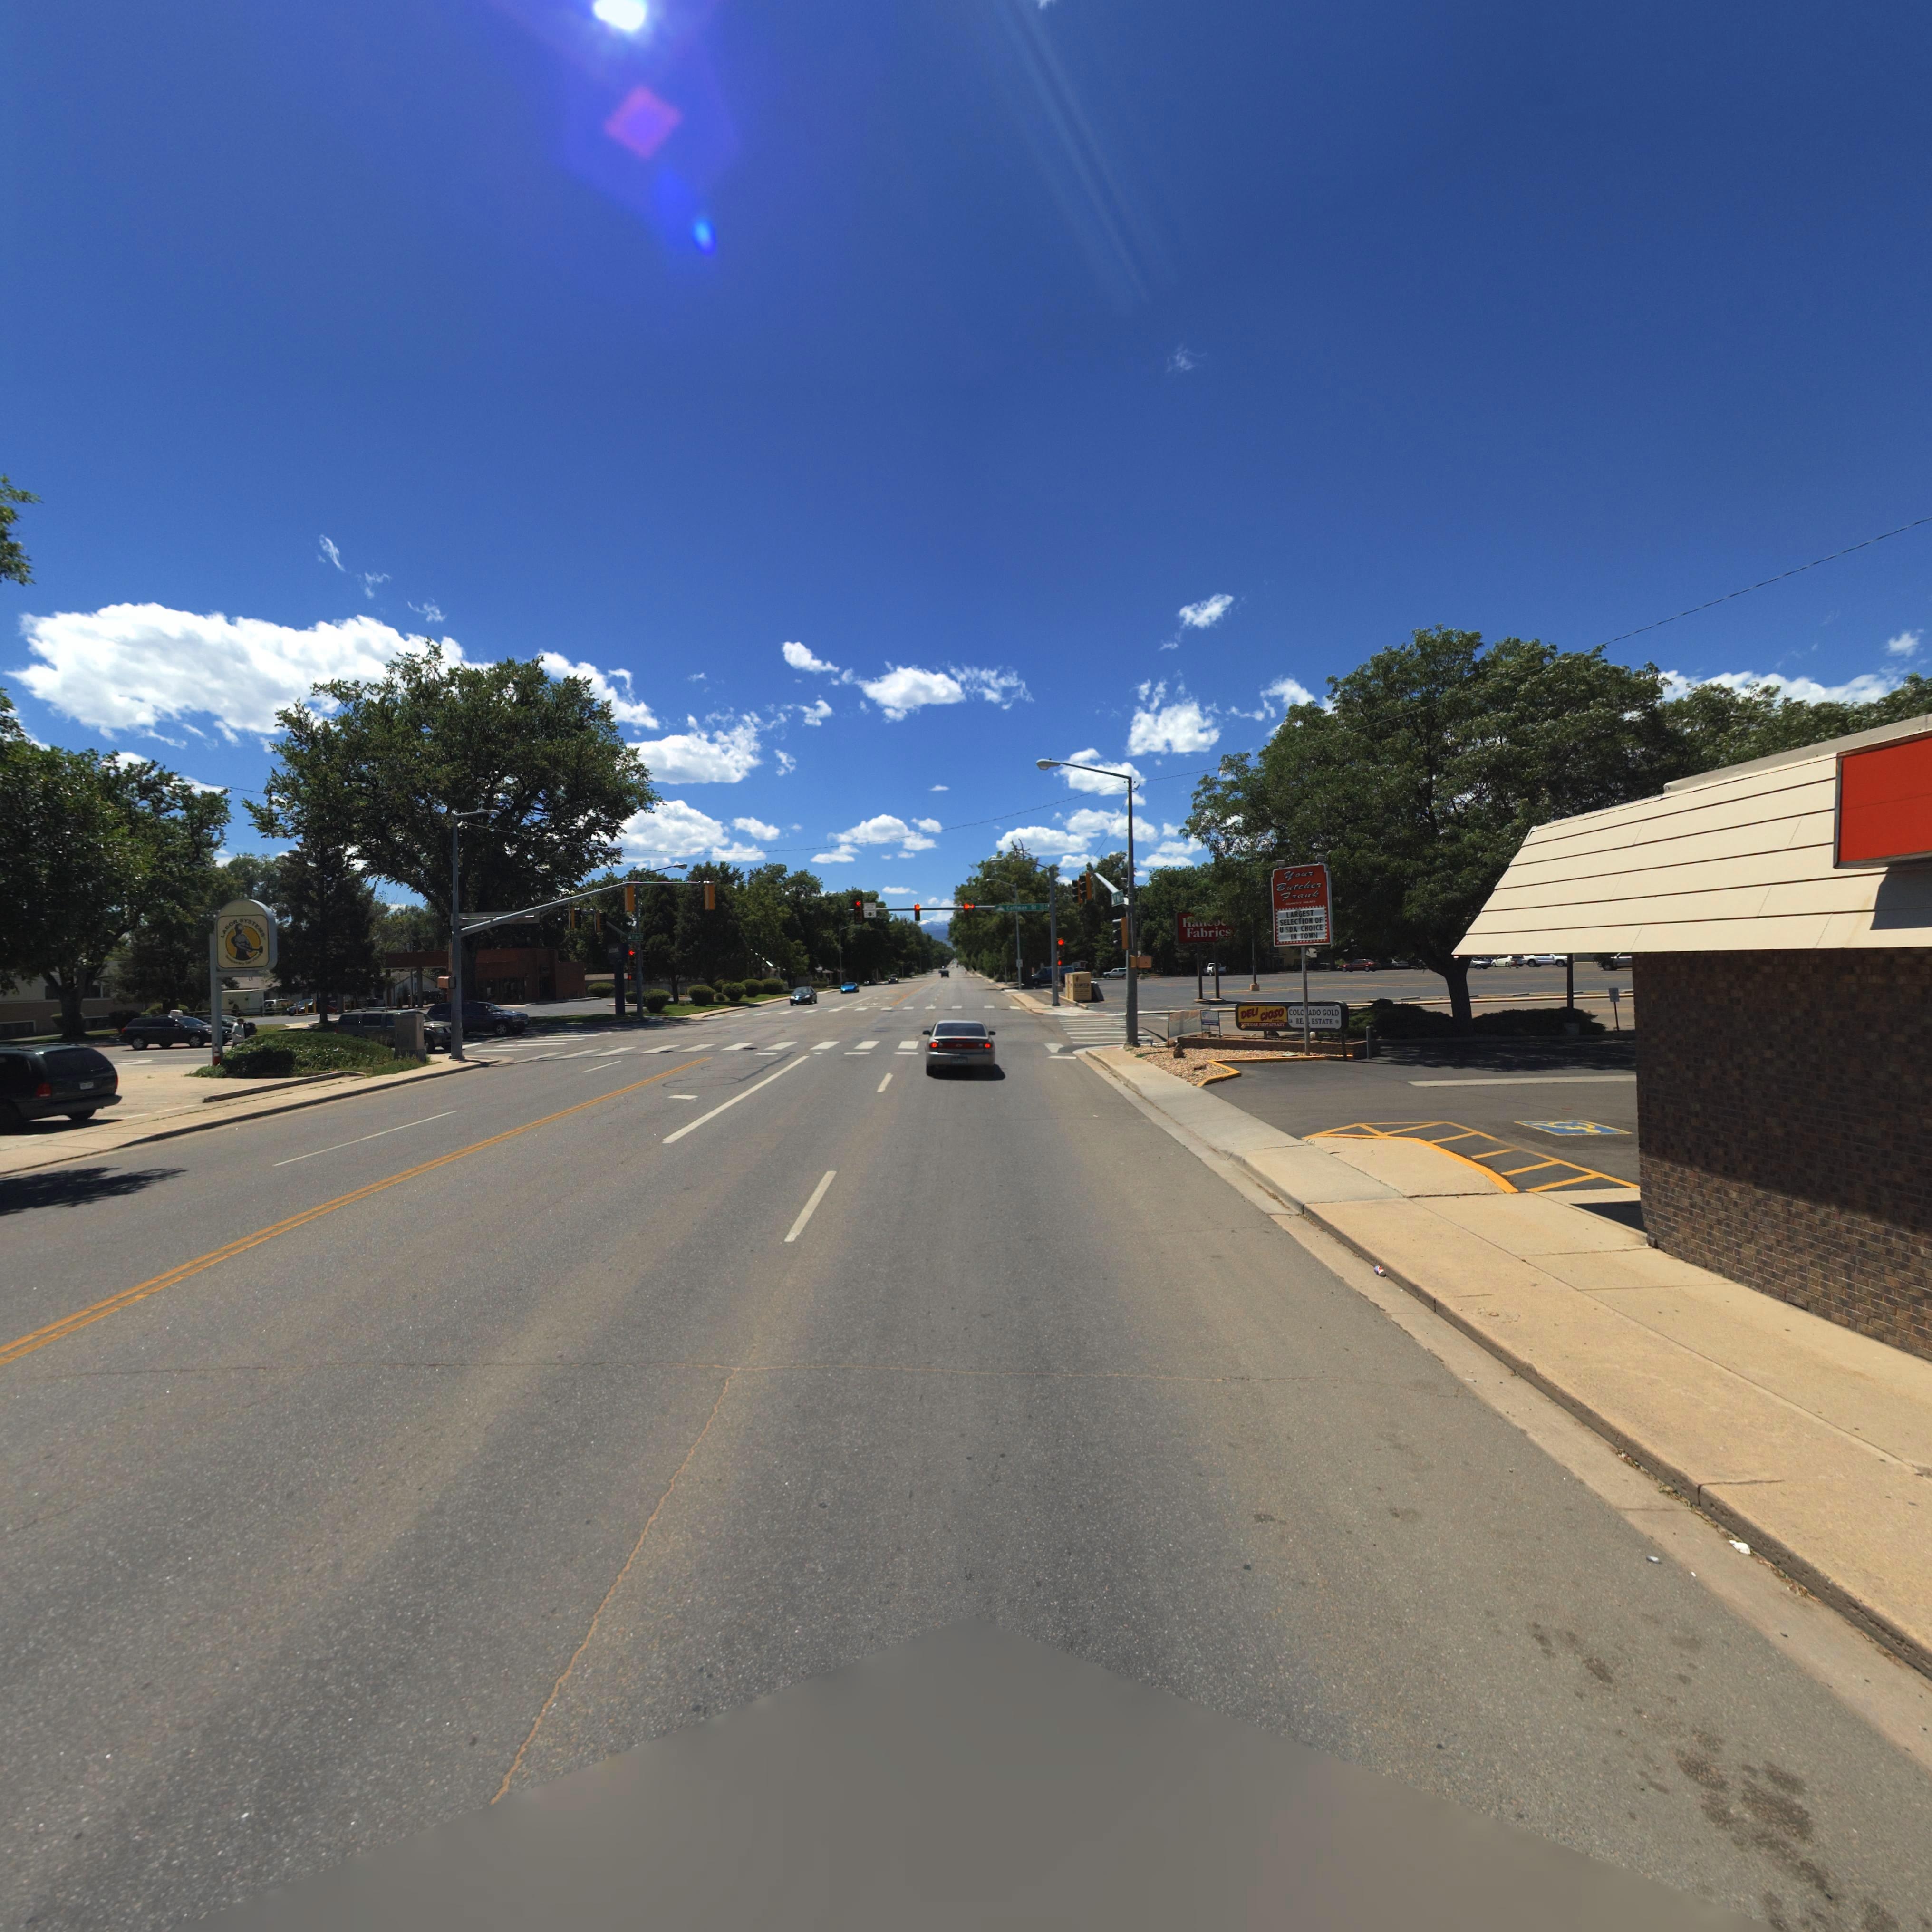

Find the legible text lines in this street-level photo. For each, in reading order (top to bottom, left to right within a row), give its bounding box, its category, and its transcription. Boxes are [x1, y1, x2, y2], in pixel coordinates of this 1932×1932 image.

[1283, 870, 1313, 882] BusinessName: *ou*
[1275, 879, 1322, 891] BusinessName: Butche*
[1113, 894, 1121, 903] StreetName: 9** Ave
[1279, 889, 1320, 902] BusinessName: **ank
[1005, 904, 1036, 911] StreetName: Coffman St
[220, 918, 265, 938] BusinessName: LABOR SYSTEMS
[631, 934, 639, 939] StreetName: *** Ave
[1186, 927, 1232, 938] BusinessName: Fabrics
[608, 946, 620, 953] BusinessName: **b**k
[1207, 1011, 1218, 1015] BusinessName: **U*
[1207, 1014, 1218, 1020] BusinessName: *EE*
[1240, 1006, 1259, 1020] BusinessName: DELI
[1240, 1022, 1285, 1026] BusinessName: **XICAN RESTAURANT
[1259, 1006, 1285, 1021] BusinessName: c*oso
[1288, 1009, 1339, 1016] BusinessName: COL**ADO GOLD
[1295, 1018, 1333, 1025] BusinessName: RE** ESTATE